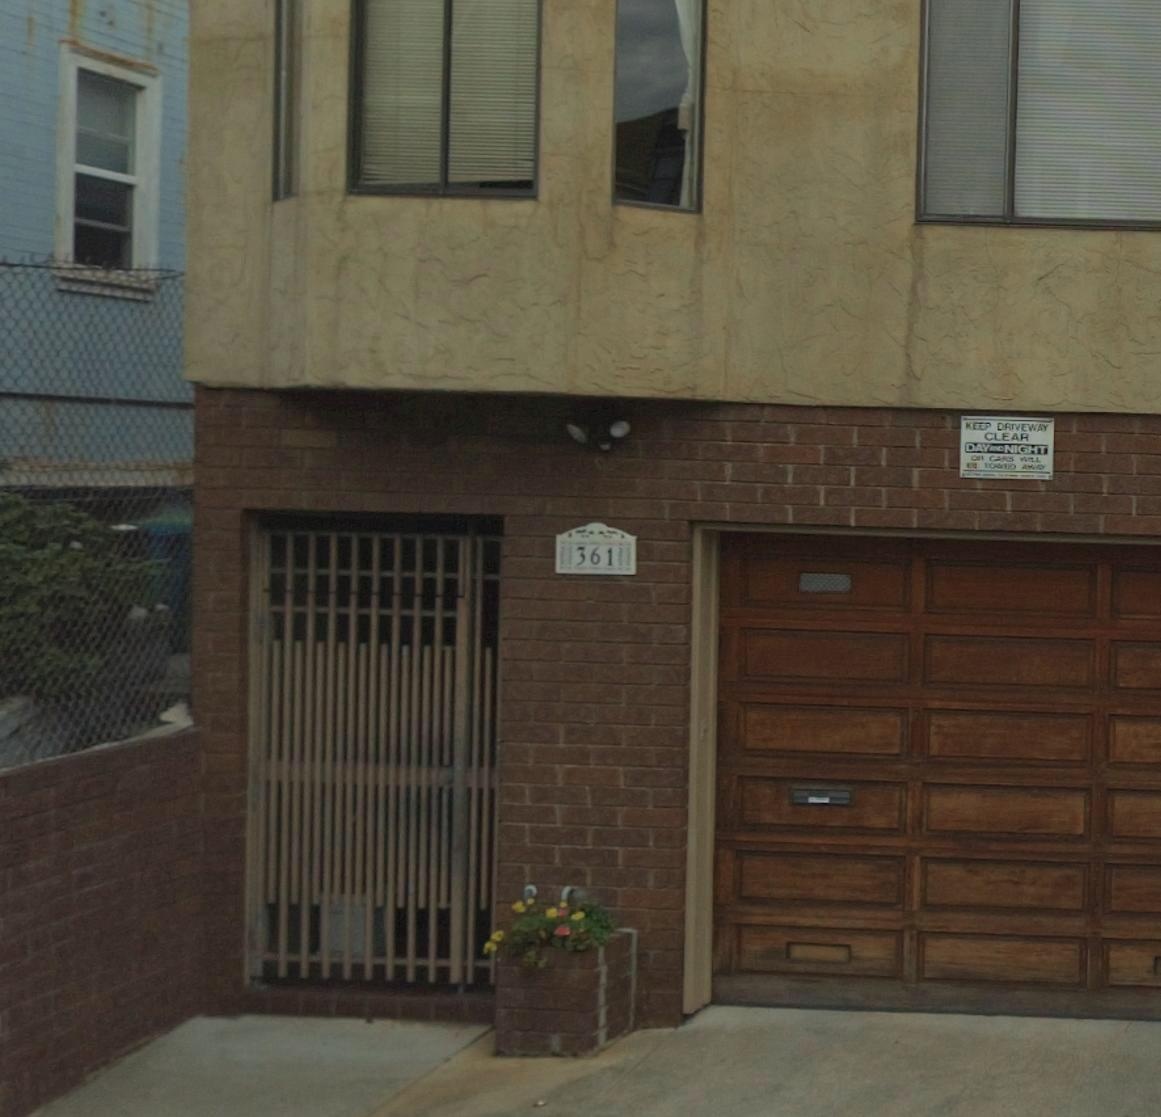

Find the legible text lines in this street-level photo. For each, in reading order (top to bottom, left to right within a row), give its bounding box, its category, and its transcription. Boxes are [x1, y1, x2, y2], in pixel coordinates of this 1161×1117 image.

[965, 420, 1050, 432] None: KEEP DRIVEWAY
[983, 431, 1030, 442] None: CLEAR
[964, 442, 1048, 455] None: DAY AND NIGHT
[970, 454, 1042, 464] None: OR CARS WILL
[983, 462, 1047, 471] None: TOWED AWAY
[575, 544, 615, 568] StreetNumber: 361